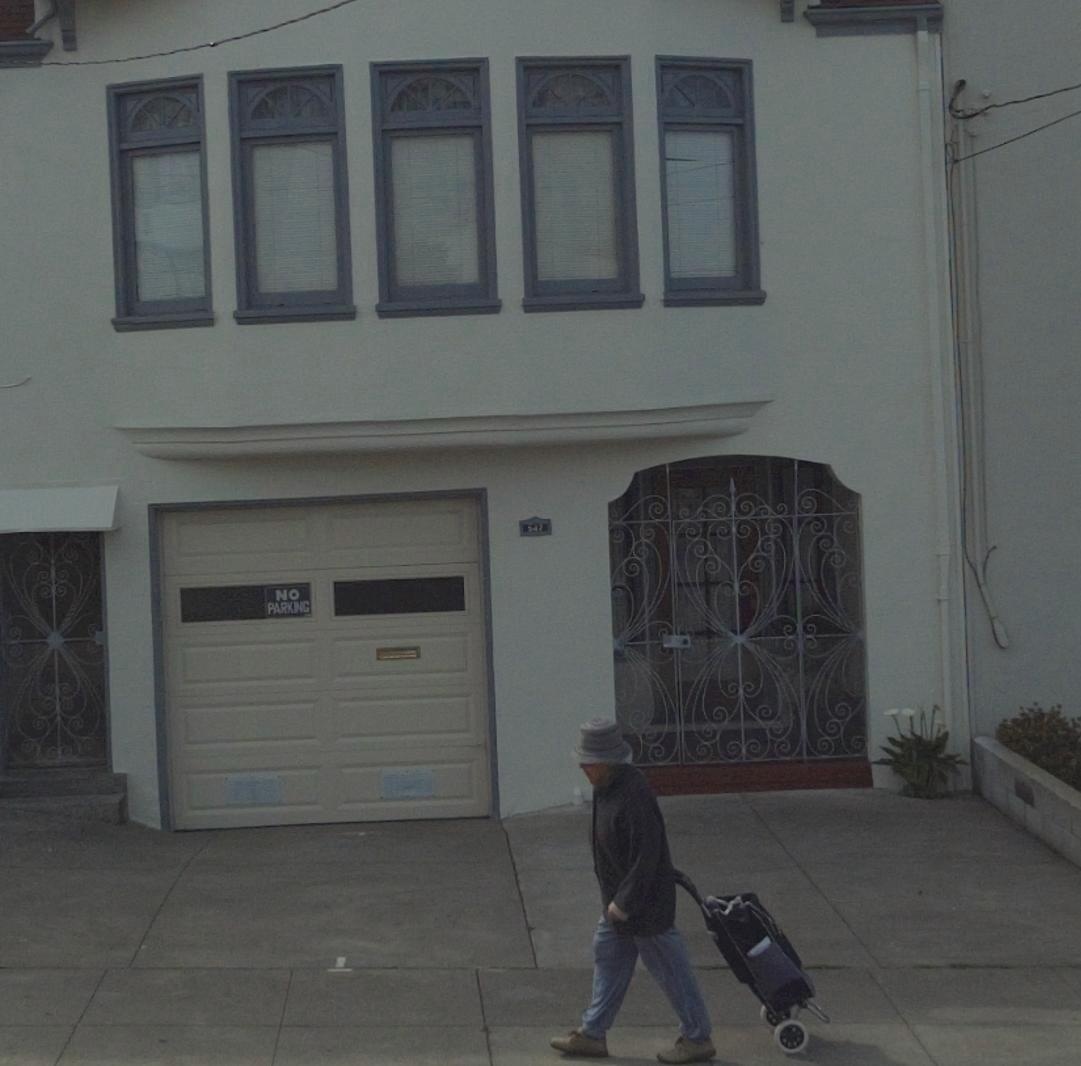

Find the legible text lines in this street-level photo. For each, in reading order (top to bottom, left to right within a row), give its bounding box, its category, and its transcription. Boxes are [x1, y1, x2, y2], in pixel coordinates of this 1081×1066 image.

[526, 523, 544, 533] StreetNumber: 547
[273, 587, 301, 603] None: NO
[266, 599, 311, 616] None: PARKING